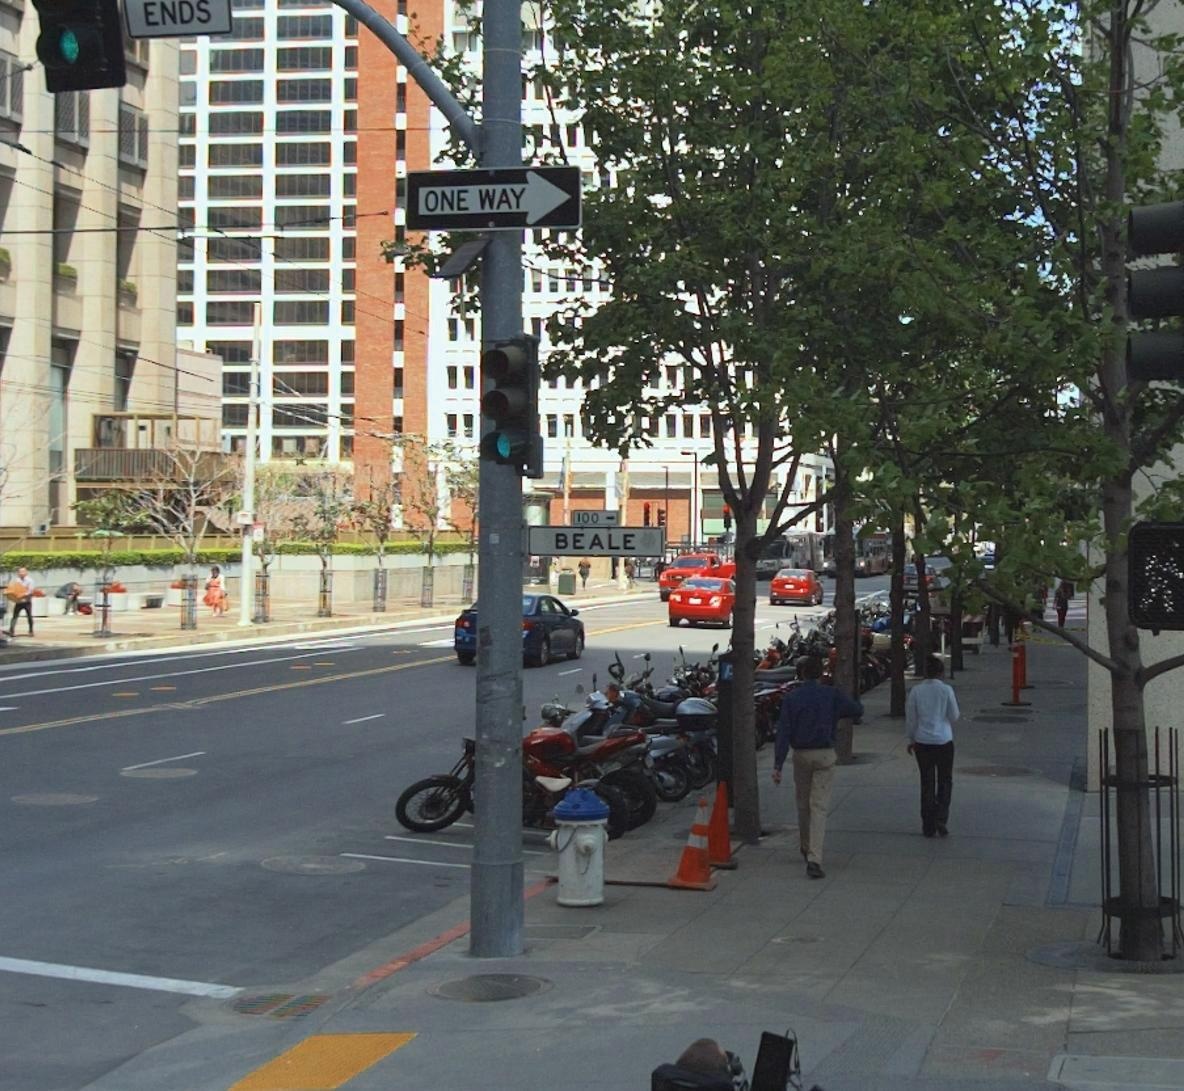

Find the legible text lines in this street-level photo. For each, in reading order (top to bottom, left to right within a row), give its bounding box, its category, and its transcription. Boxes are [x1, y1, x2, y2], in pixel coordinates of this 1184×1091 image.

[142, 0, 214, 26] None: ENDS
[424, 186, 528, 213] None: ONE WAY
[575, 511, 617, 525] StreetNumberRange: 100->
[554, 532, 637, 551] StreetName: BEALE